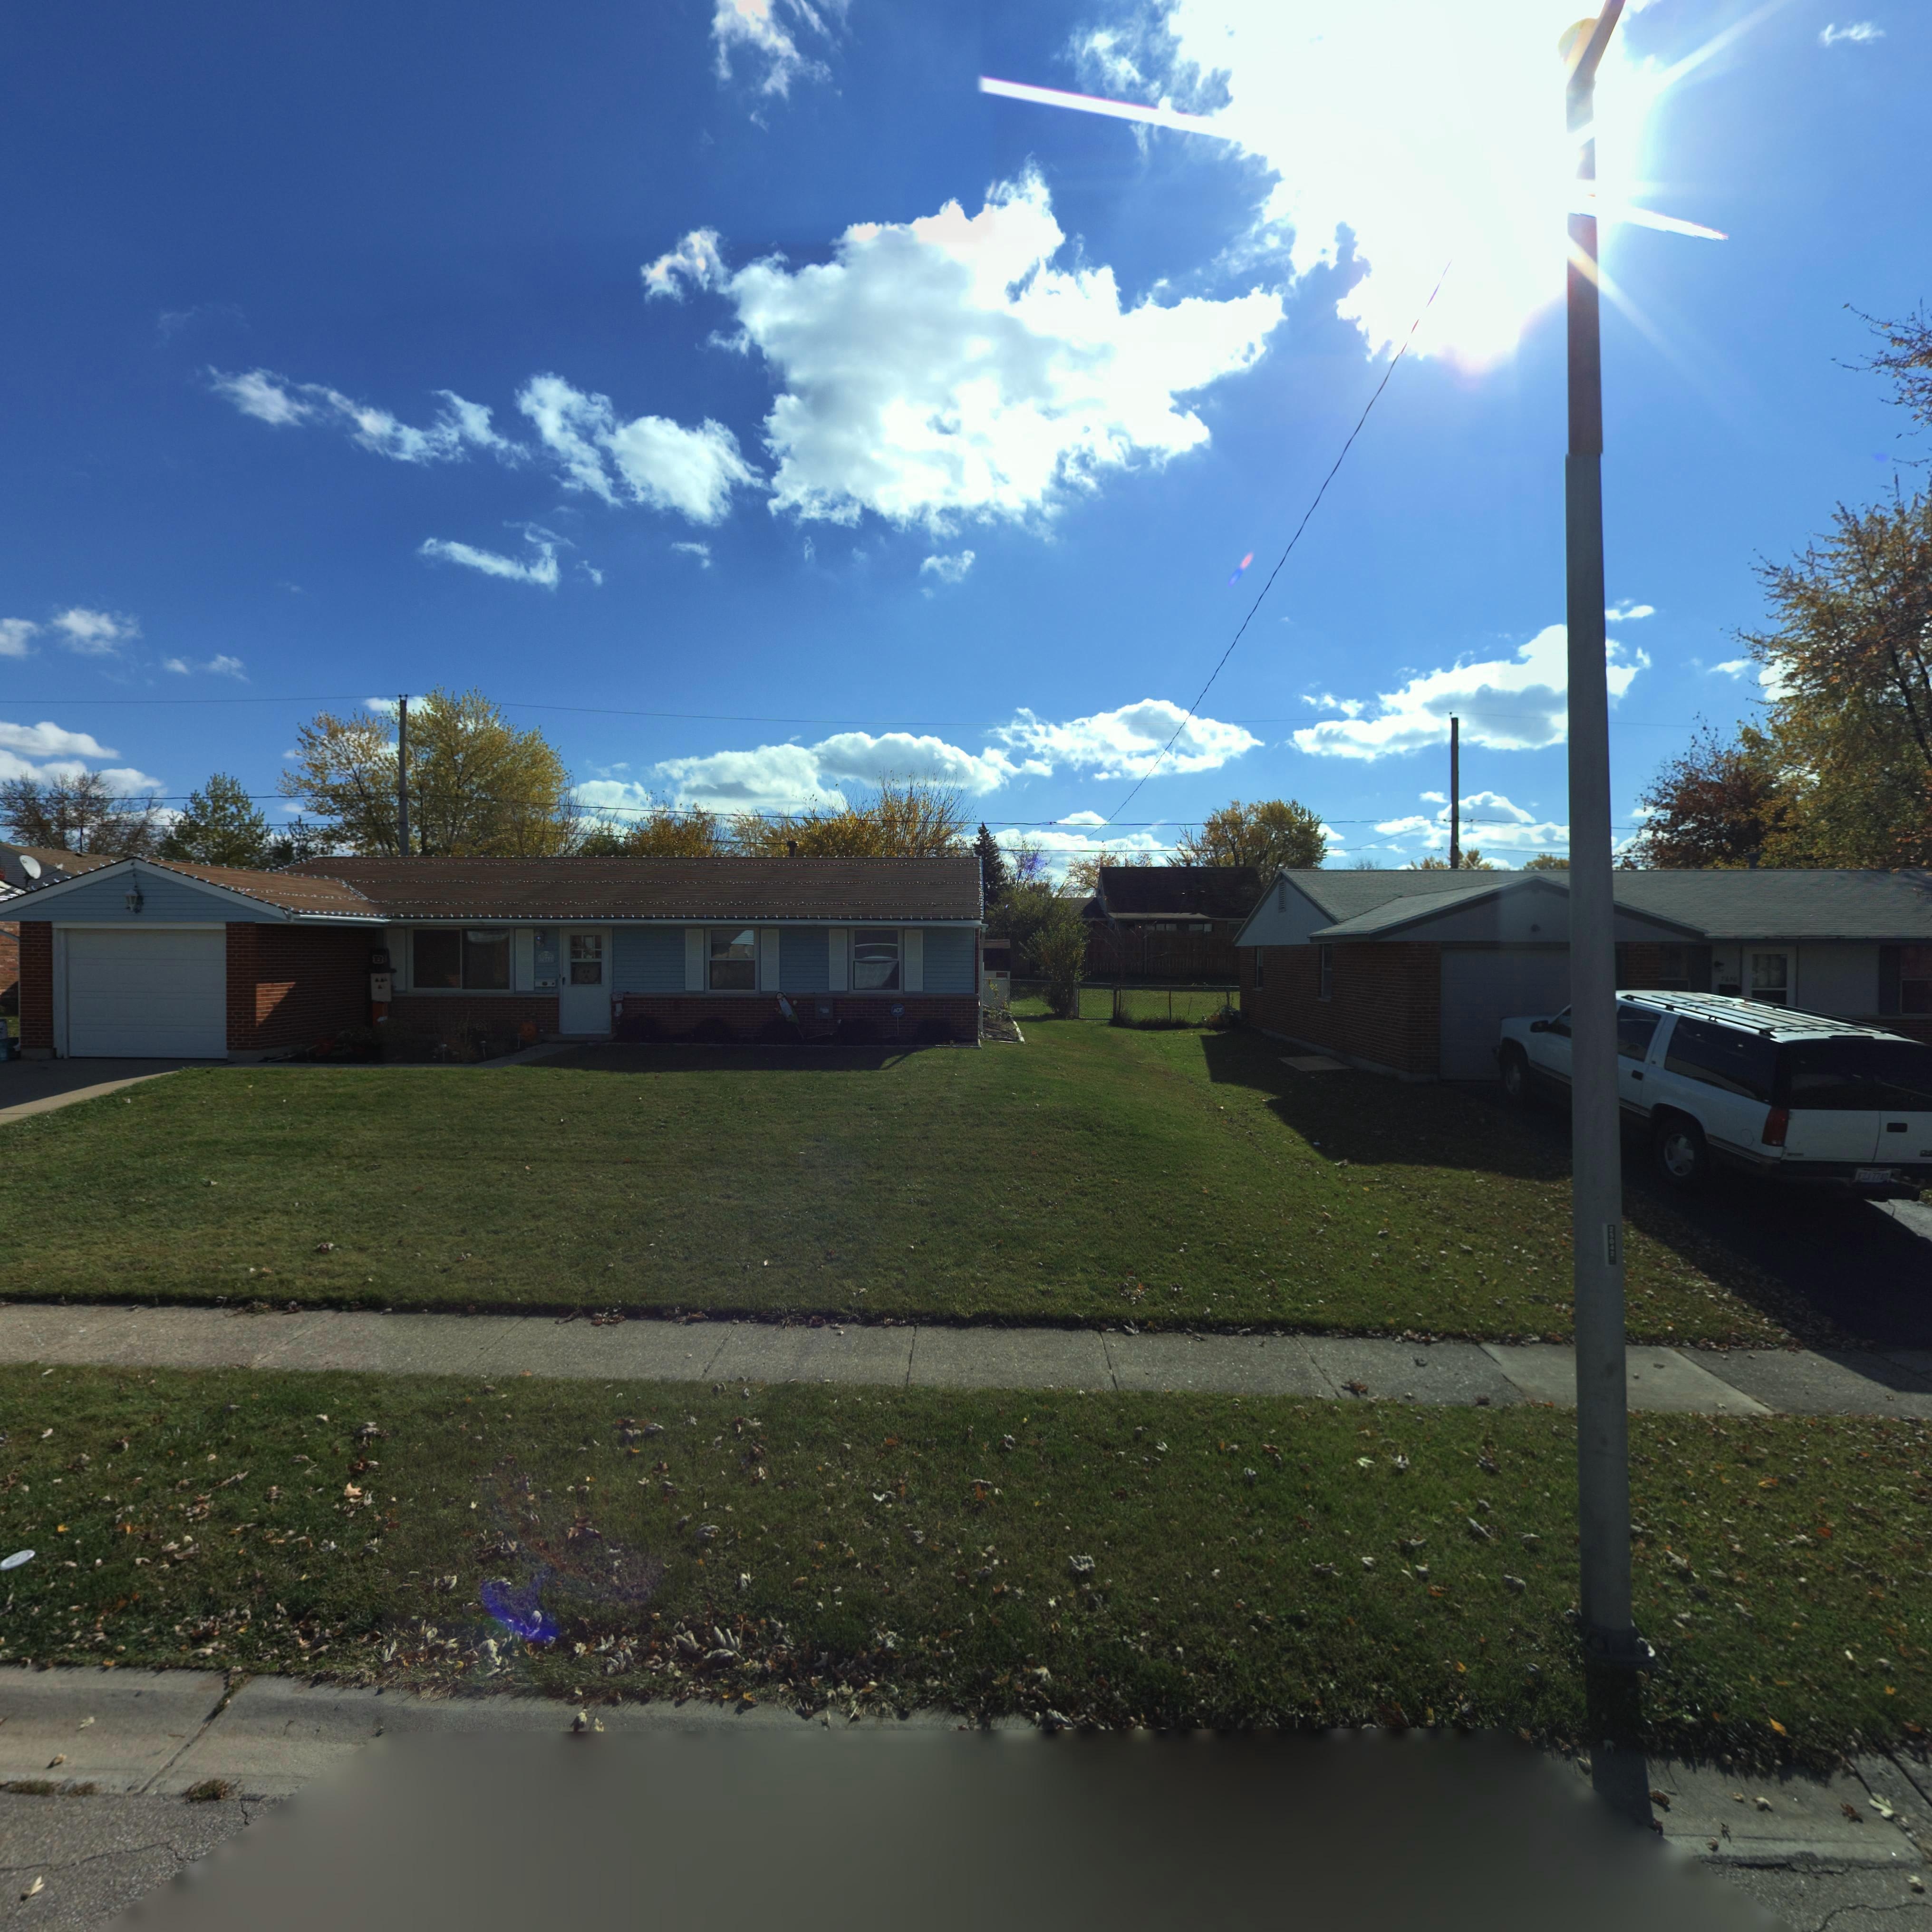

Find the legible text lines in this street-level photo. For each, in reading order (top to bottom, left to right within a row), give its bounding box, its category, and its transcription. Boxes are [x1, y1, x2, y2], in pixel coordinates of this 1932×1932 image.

[540, 956, 552, 962] StreetNumber: 7666
[1720, 976, 1737, 982] StreetNumber: 76**